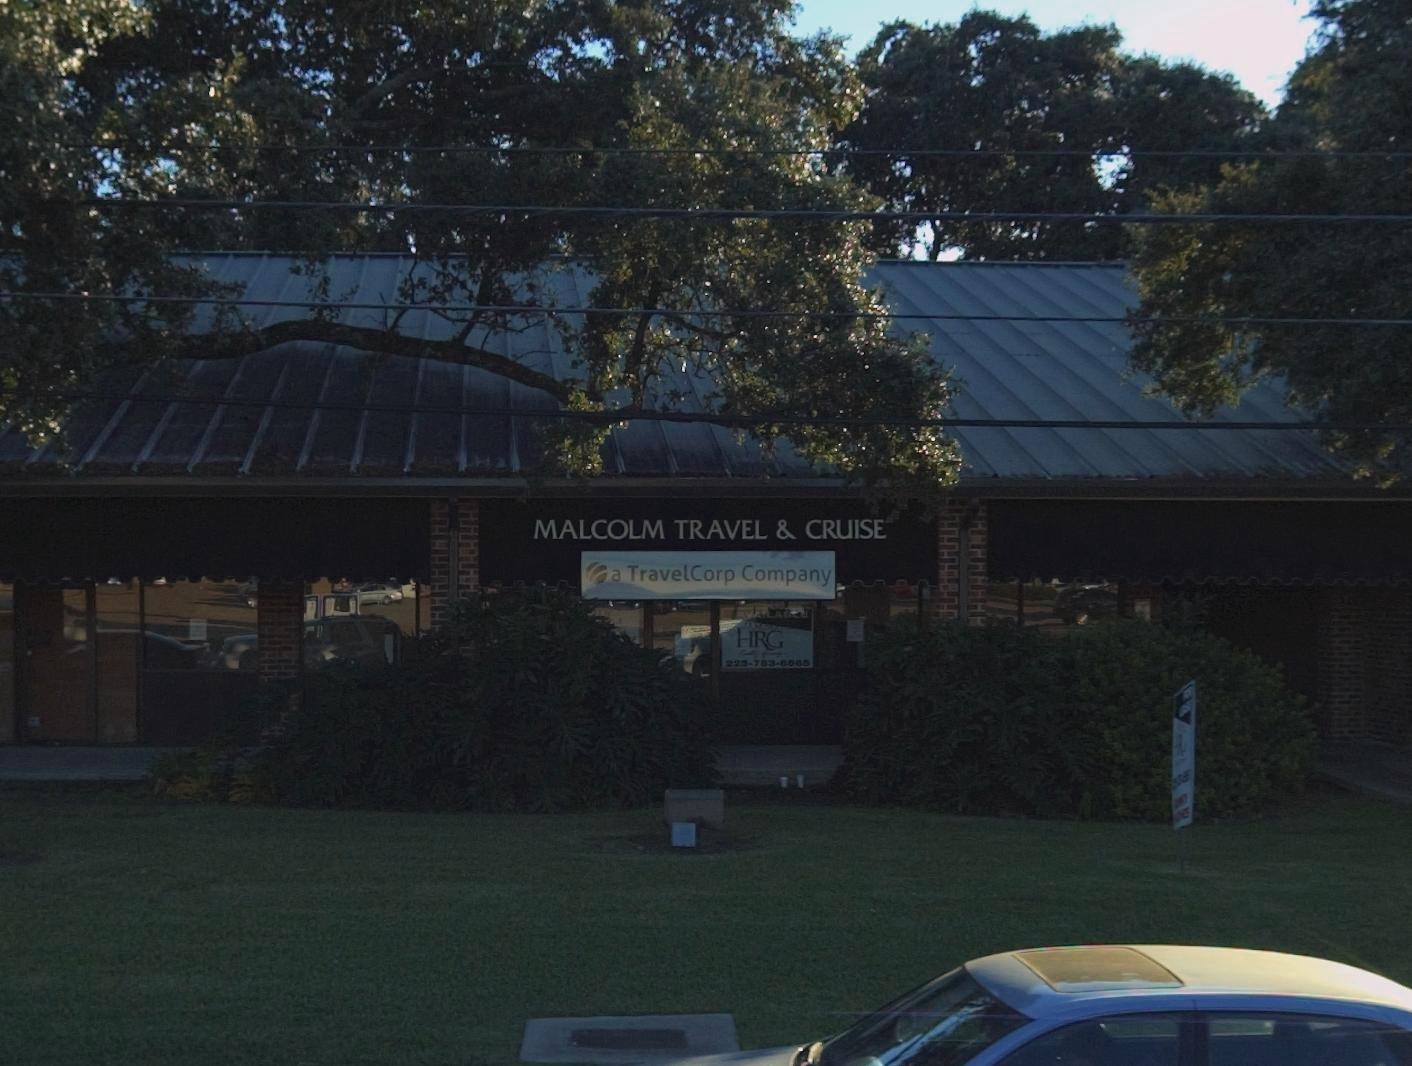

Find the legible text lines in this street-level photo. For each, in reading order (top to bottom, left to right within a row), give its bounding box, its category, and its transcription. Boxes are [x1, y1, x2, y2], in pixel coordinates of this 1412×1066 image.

[531, 518, 889, 541] BusinessName: MALCOLM TRAVEL & CRUISE
[610, 564, 832, 588] None: a TravelCorp Company
[736, 626, 784, 652] None: HRG
[725, 658, 811, 668] None: 225-753-6565